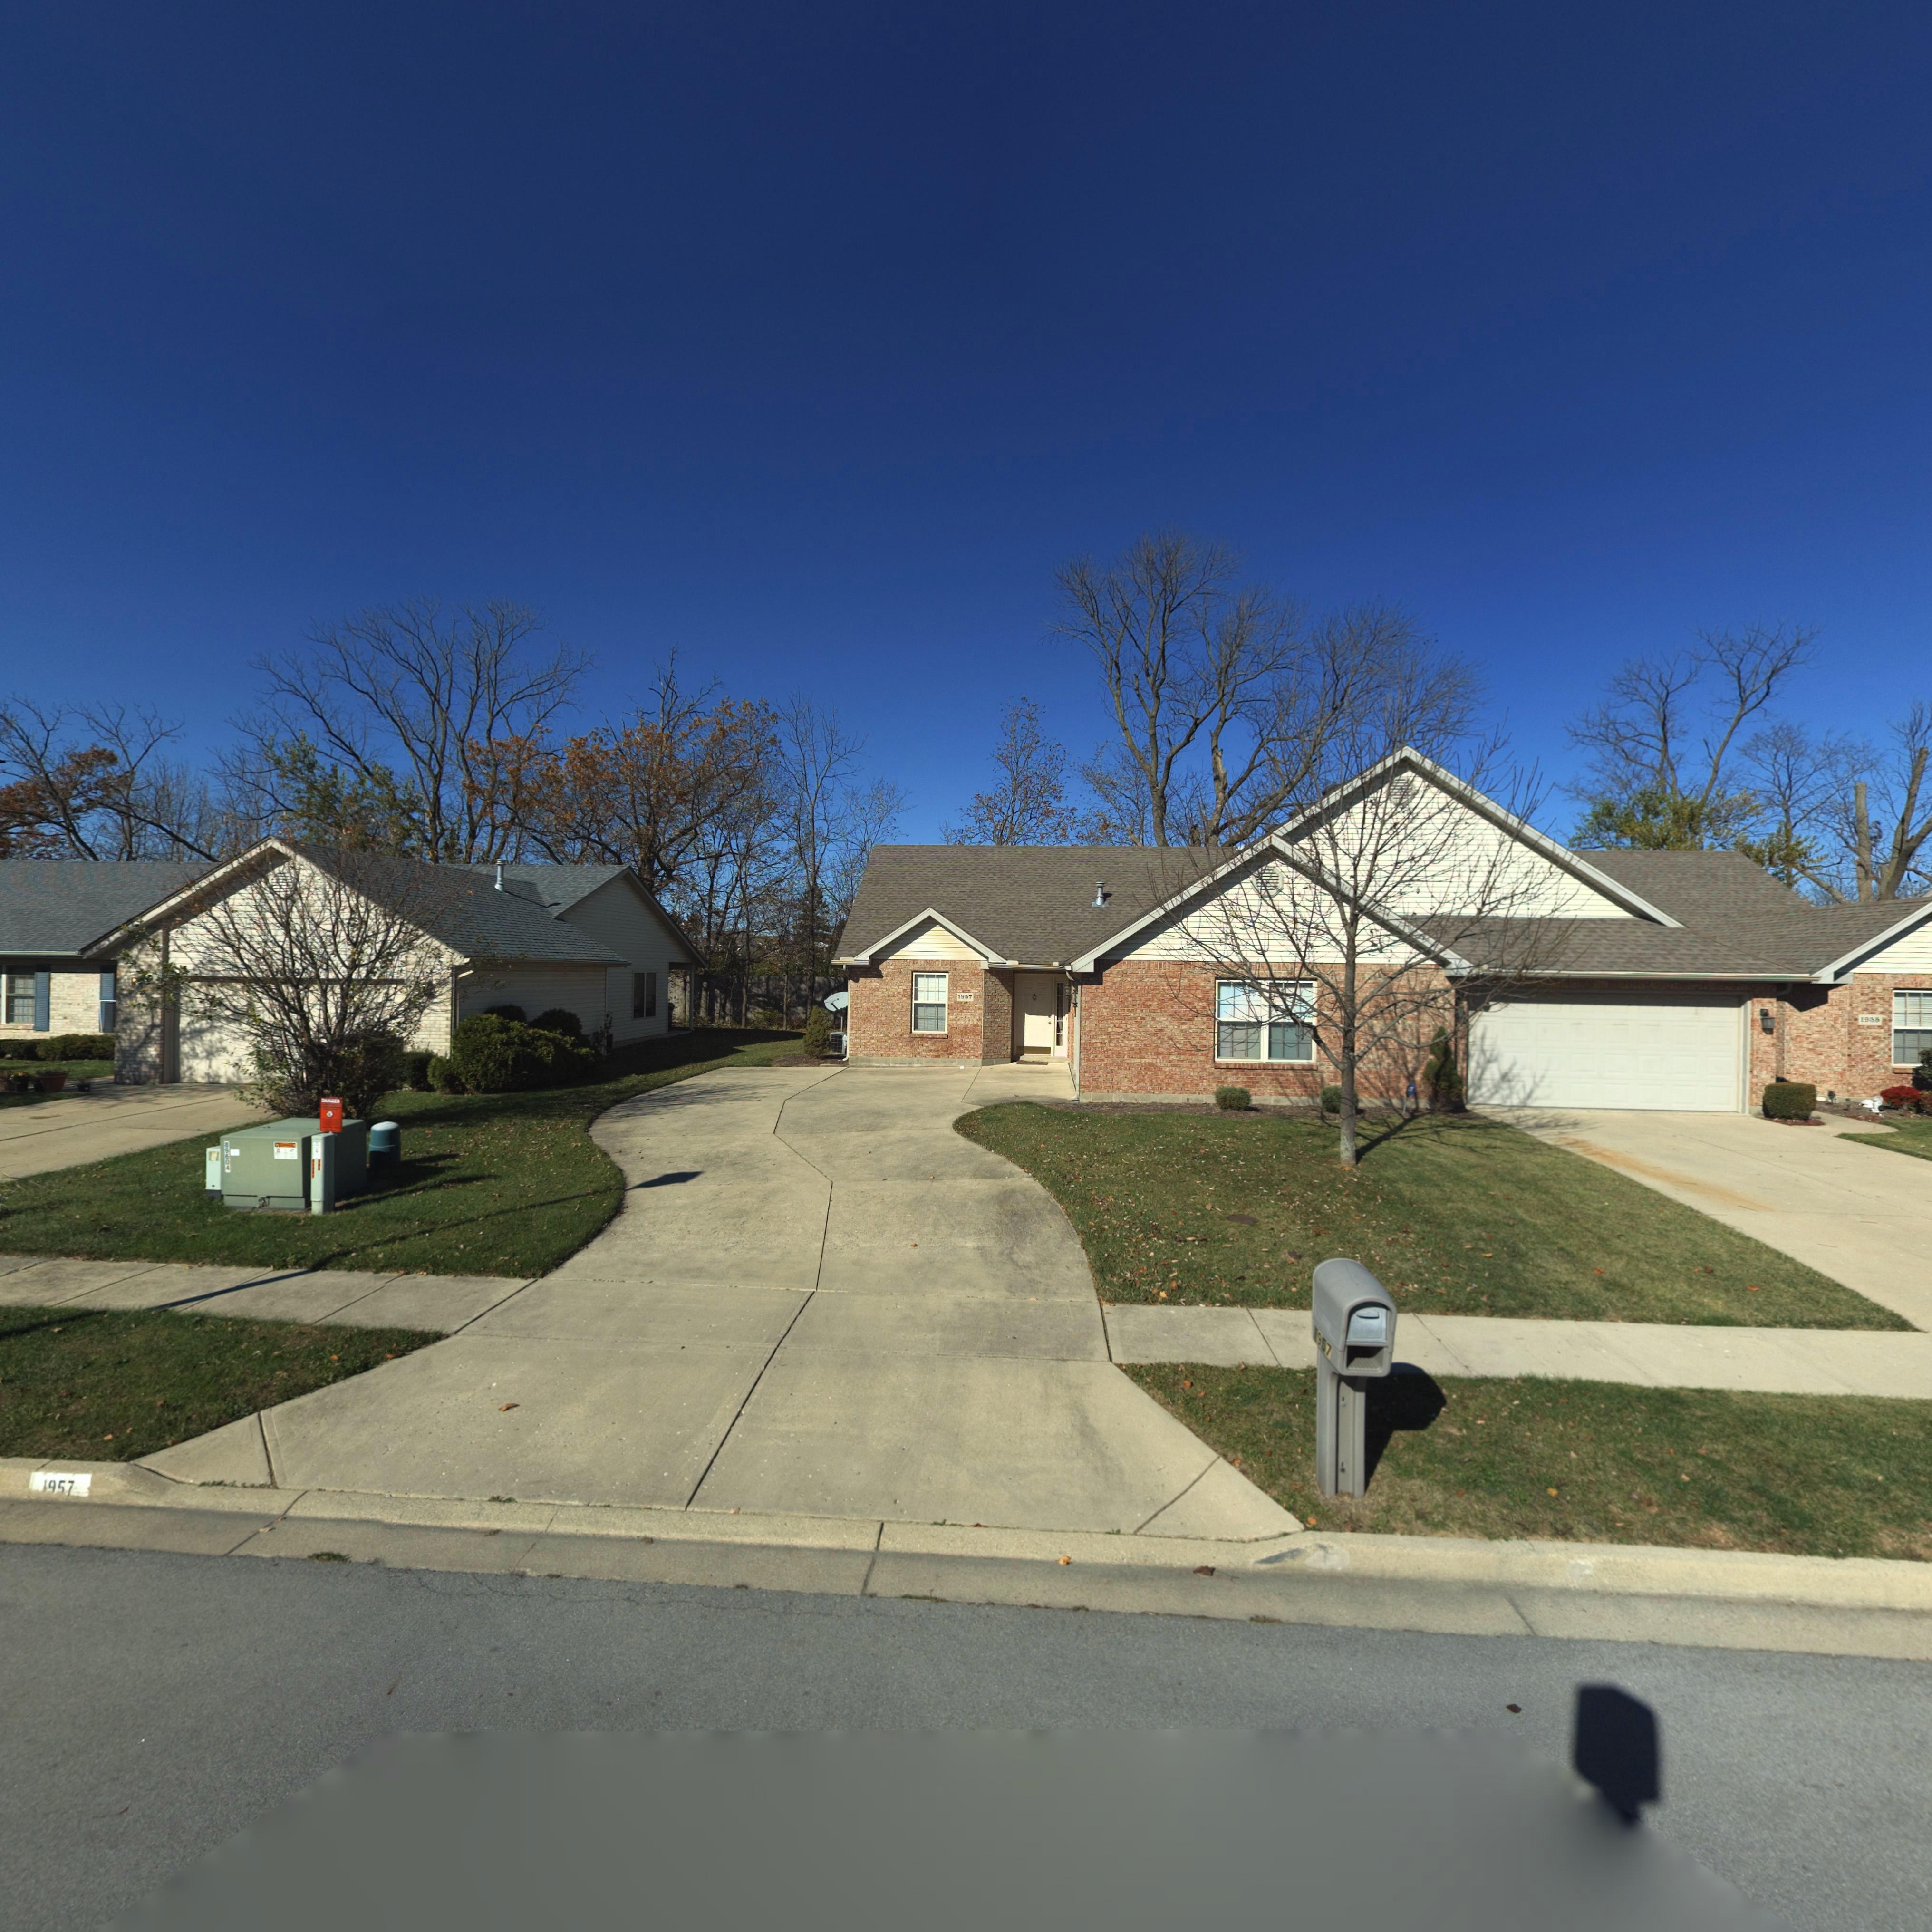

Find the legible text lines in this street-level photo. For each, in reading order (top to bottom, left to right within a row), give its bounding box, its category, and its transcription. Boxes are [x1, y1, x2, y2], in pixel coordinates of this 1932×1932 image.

[957, 994, 973, 1000] StreetNumber: 1957
[1860, 1016, 1881, 1024] StreetNumber: 19**
[1313, 1324, 1333, 1358] StreetNumber: *957
[42, 1478, 77, 1497] StreetNumber: 1957